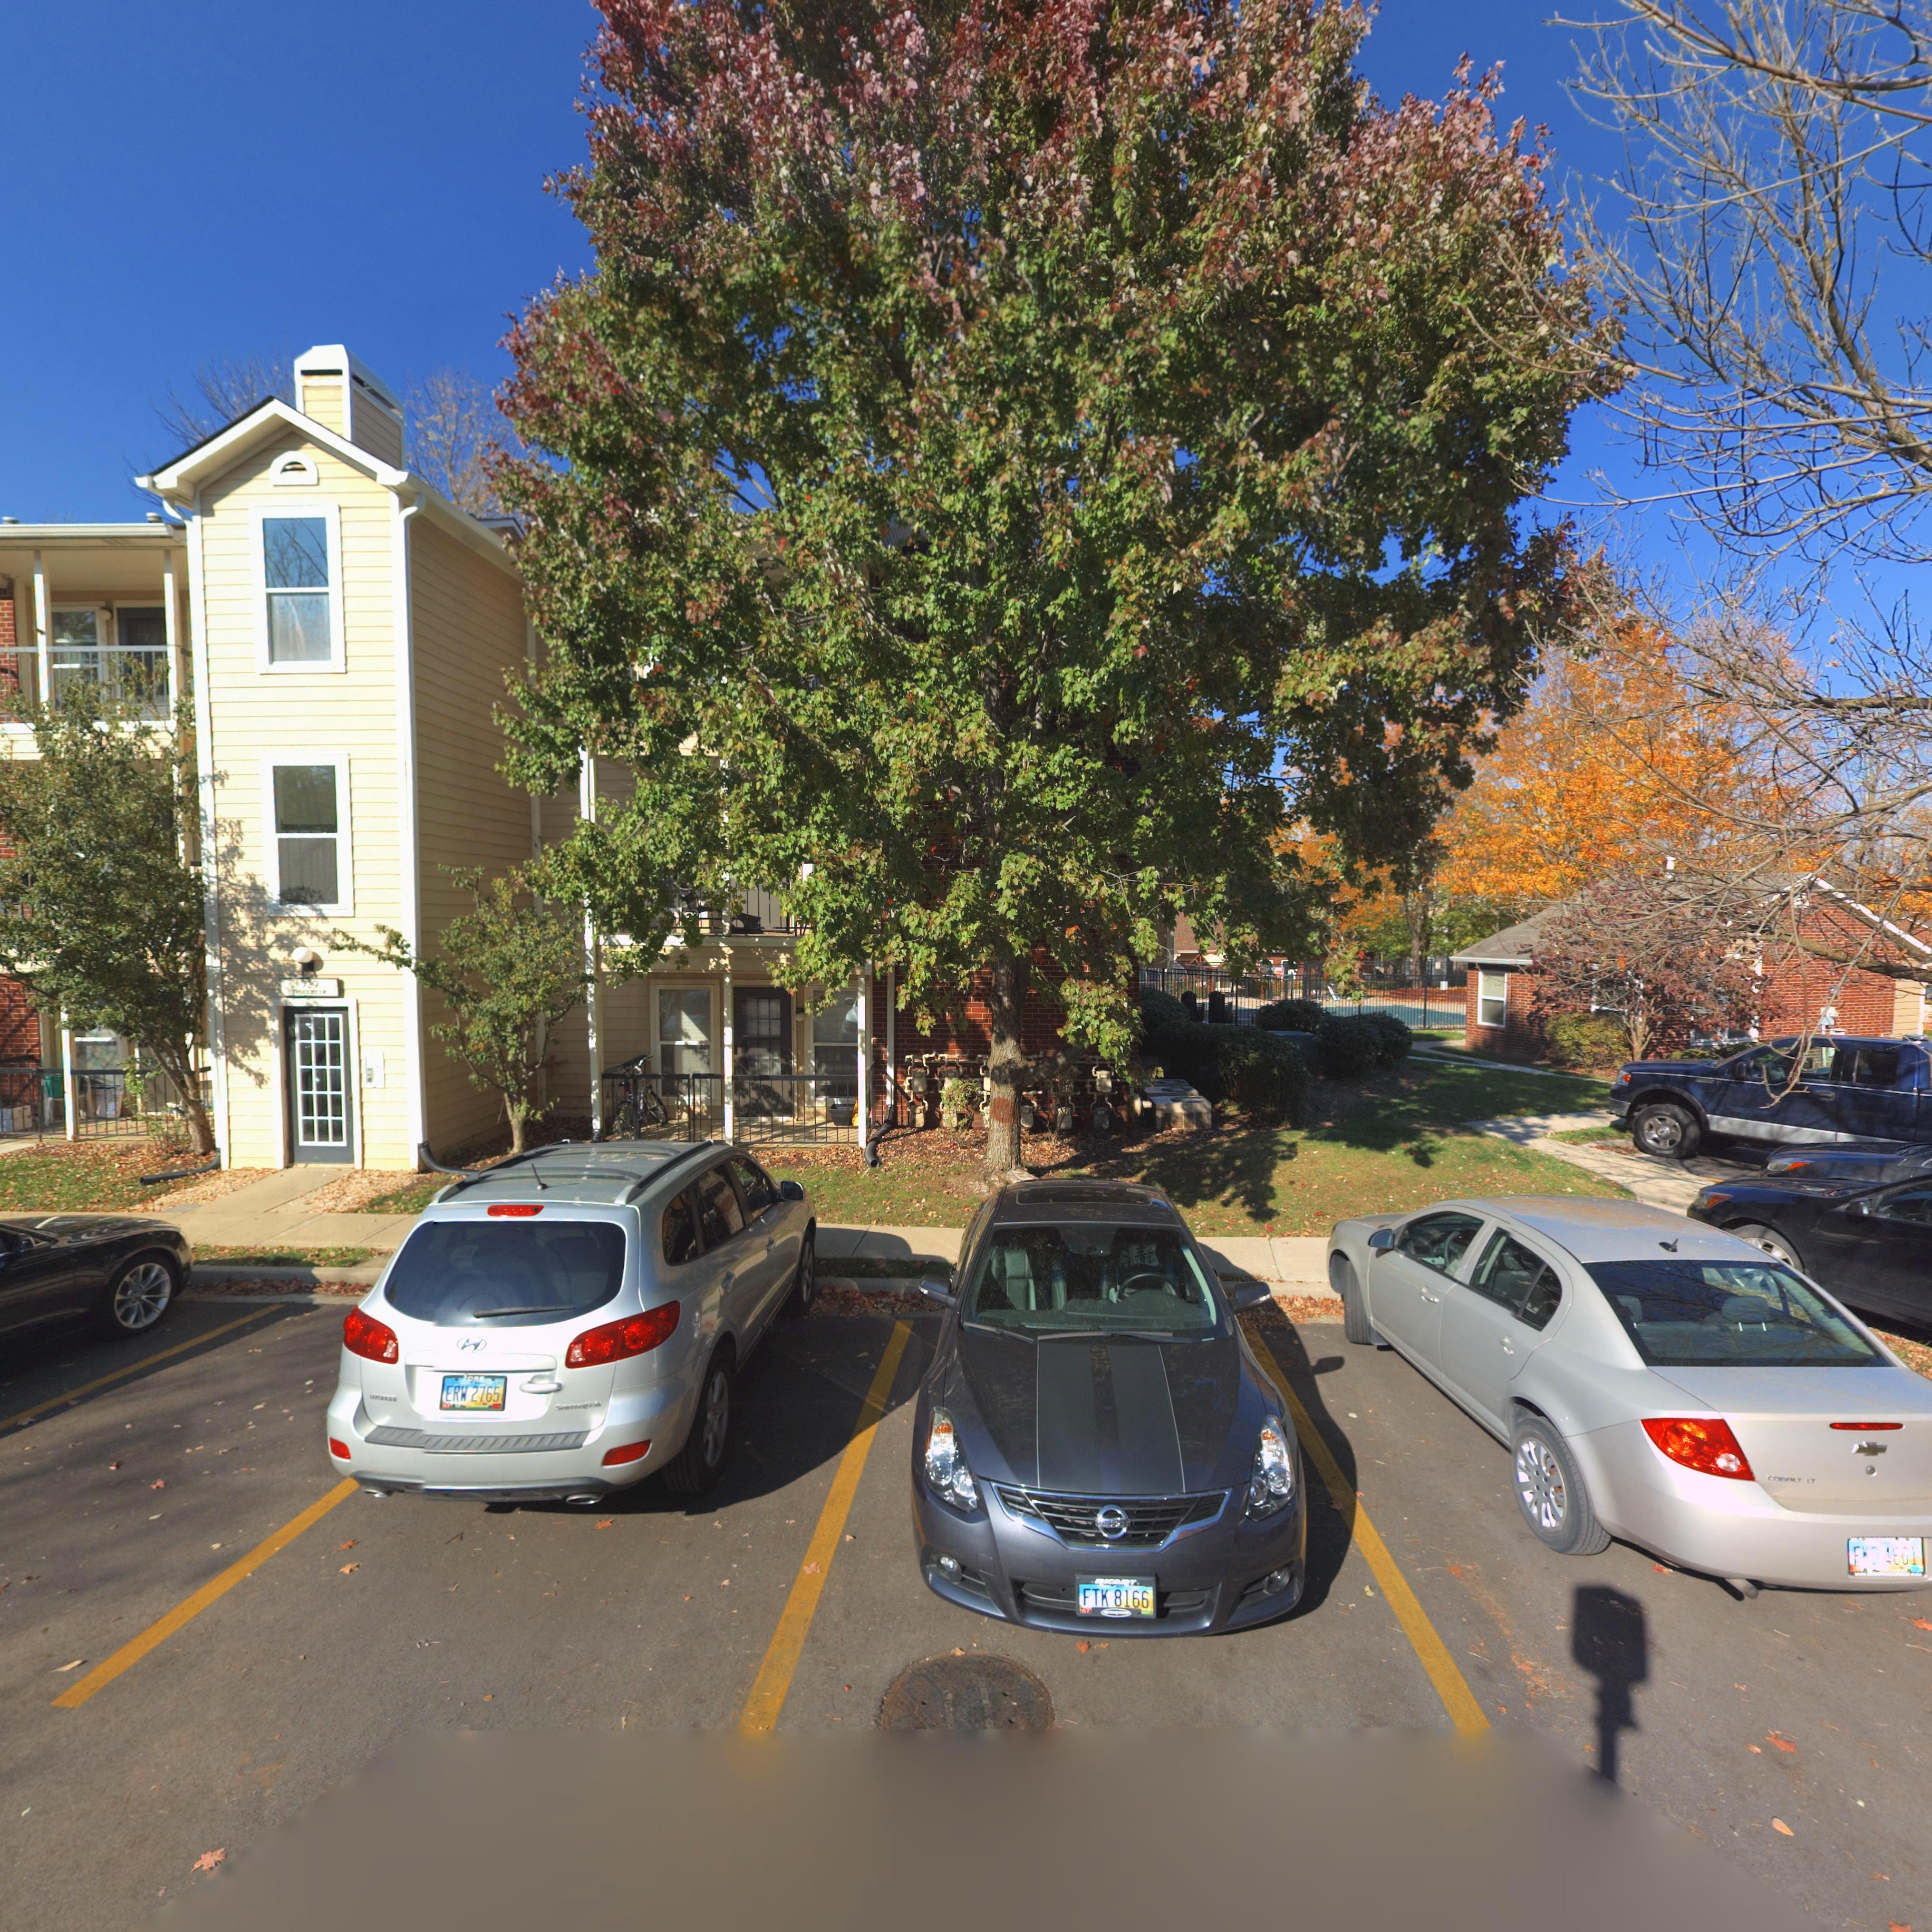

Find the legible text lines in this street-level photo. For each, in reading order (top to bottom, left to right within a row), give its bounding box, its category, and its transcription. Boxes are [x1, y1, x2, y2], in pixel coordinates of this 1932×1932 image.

[299, 979, 319, 990] StreetNumber: *29
[444, 1383, 502, 1404] None: ERW 2765
[1883, 1544, 1918, 1568] None: 4601
[1082, 1587, 1150, 1610] None: FTK 8166